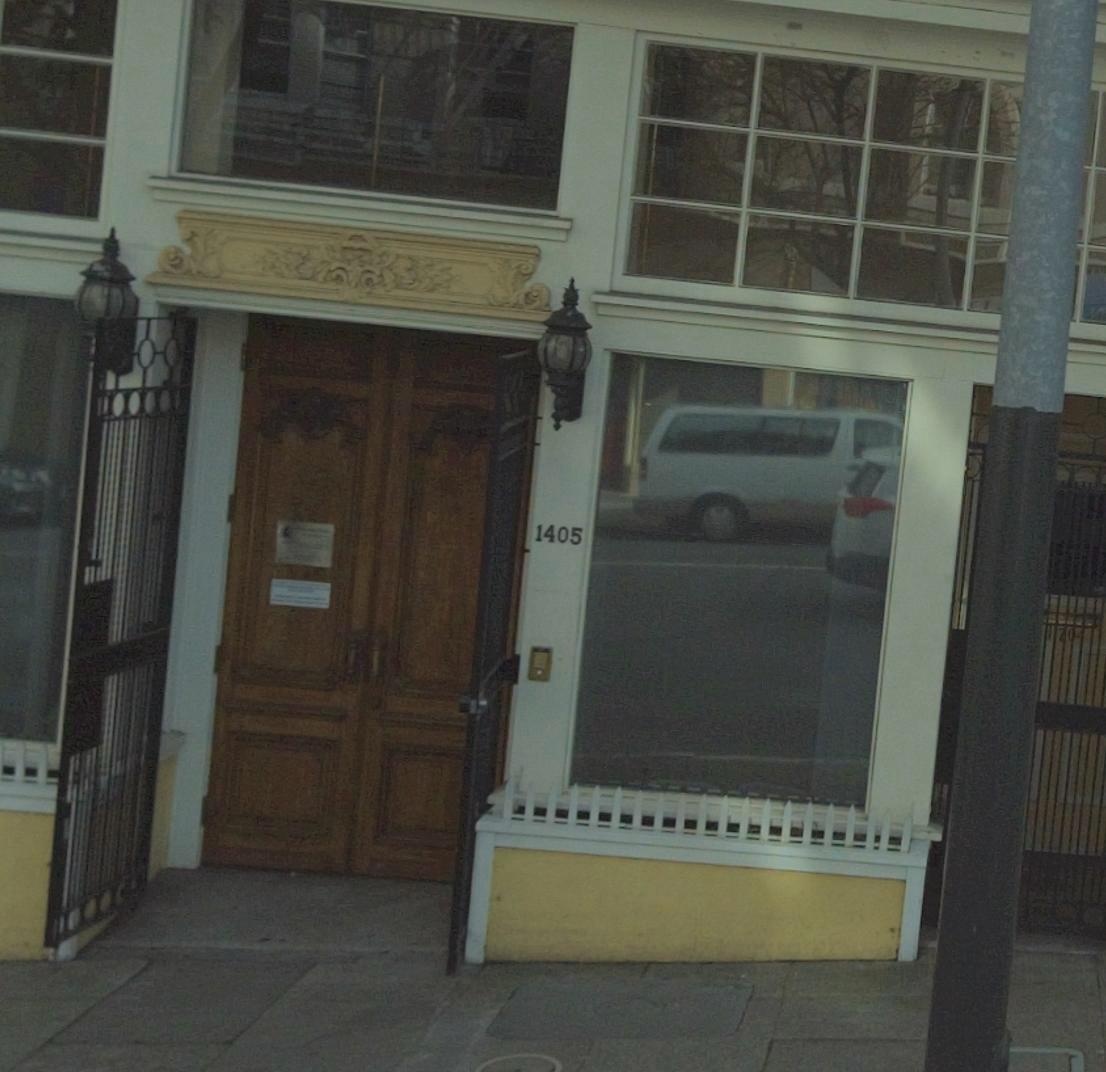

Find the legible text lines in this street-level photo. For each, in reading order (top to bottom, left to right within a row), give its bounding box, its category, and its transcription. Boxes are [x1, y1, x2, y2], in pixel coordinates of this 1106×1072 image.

[530, 520, 588, 549] StreetNumber: 1405